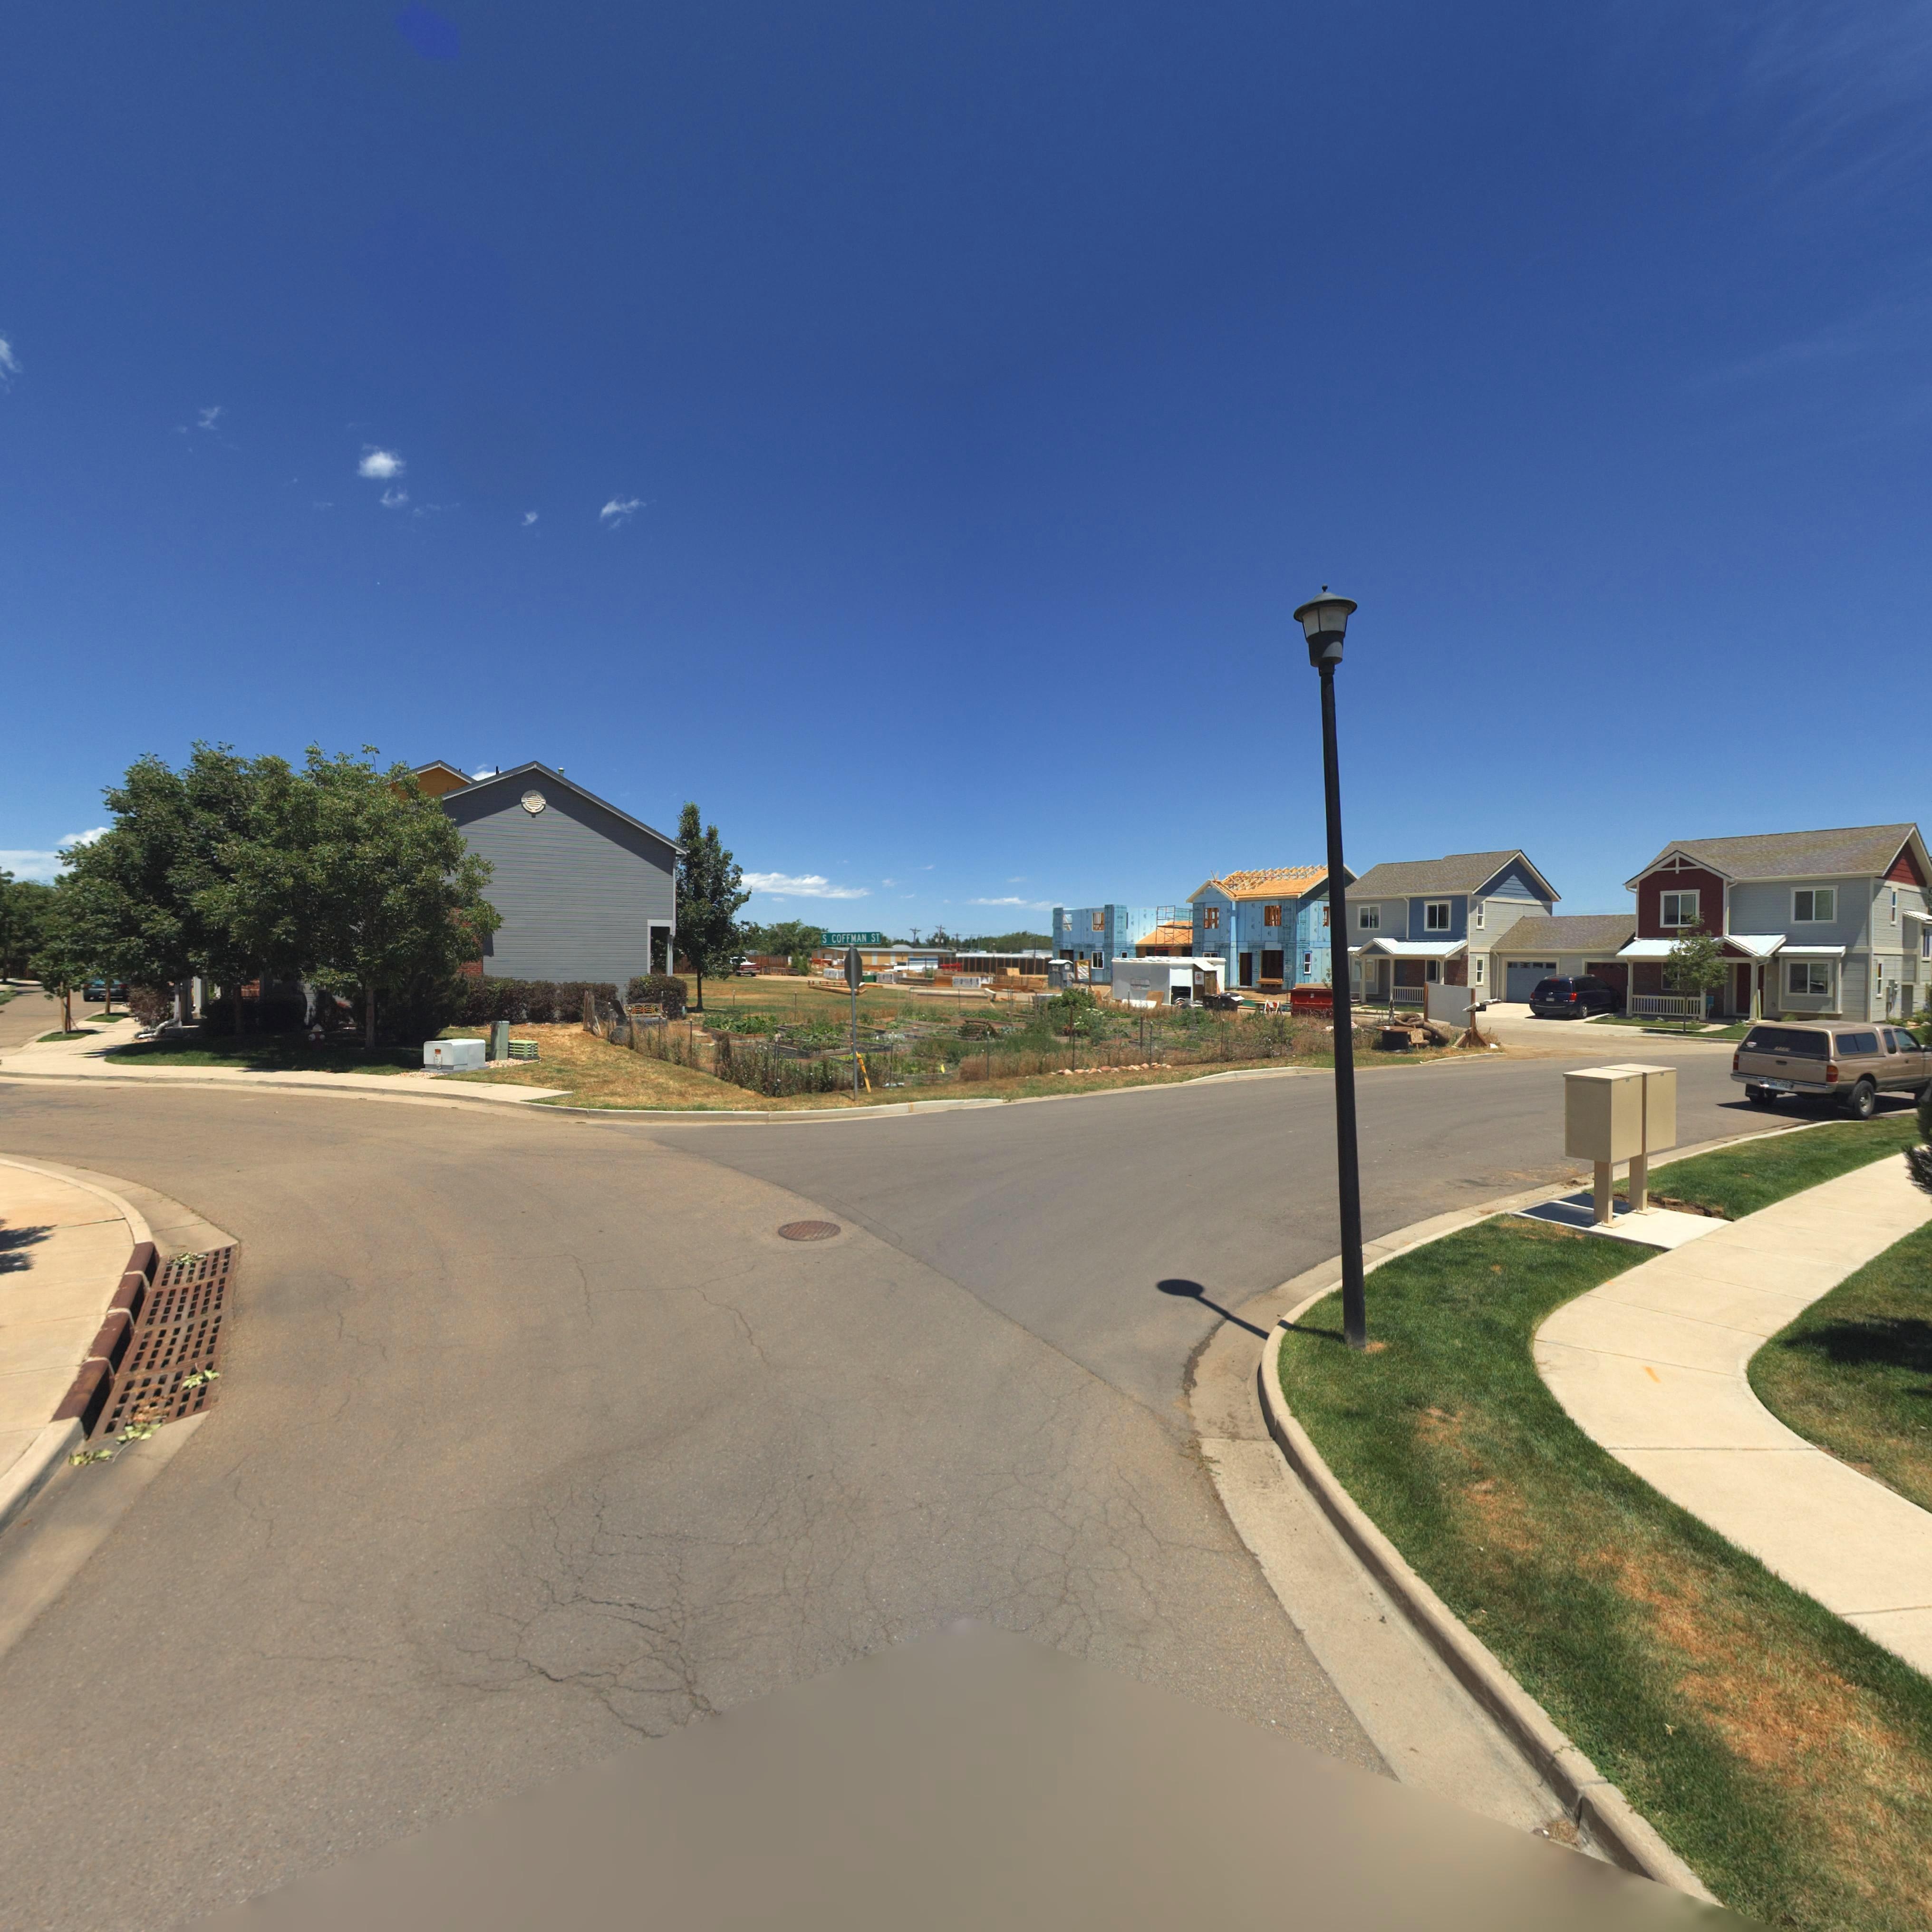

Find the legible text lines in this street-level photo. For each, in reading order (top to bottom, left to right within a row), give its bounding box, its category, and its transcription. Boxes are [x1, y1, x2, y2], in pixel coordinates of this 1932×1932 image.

[822, 933, 880, 943] StreetName: S COFFMAN ST